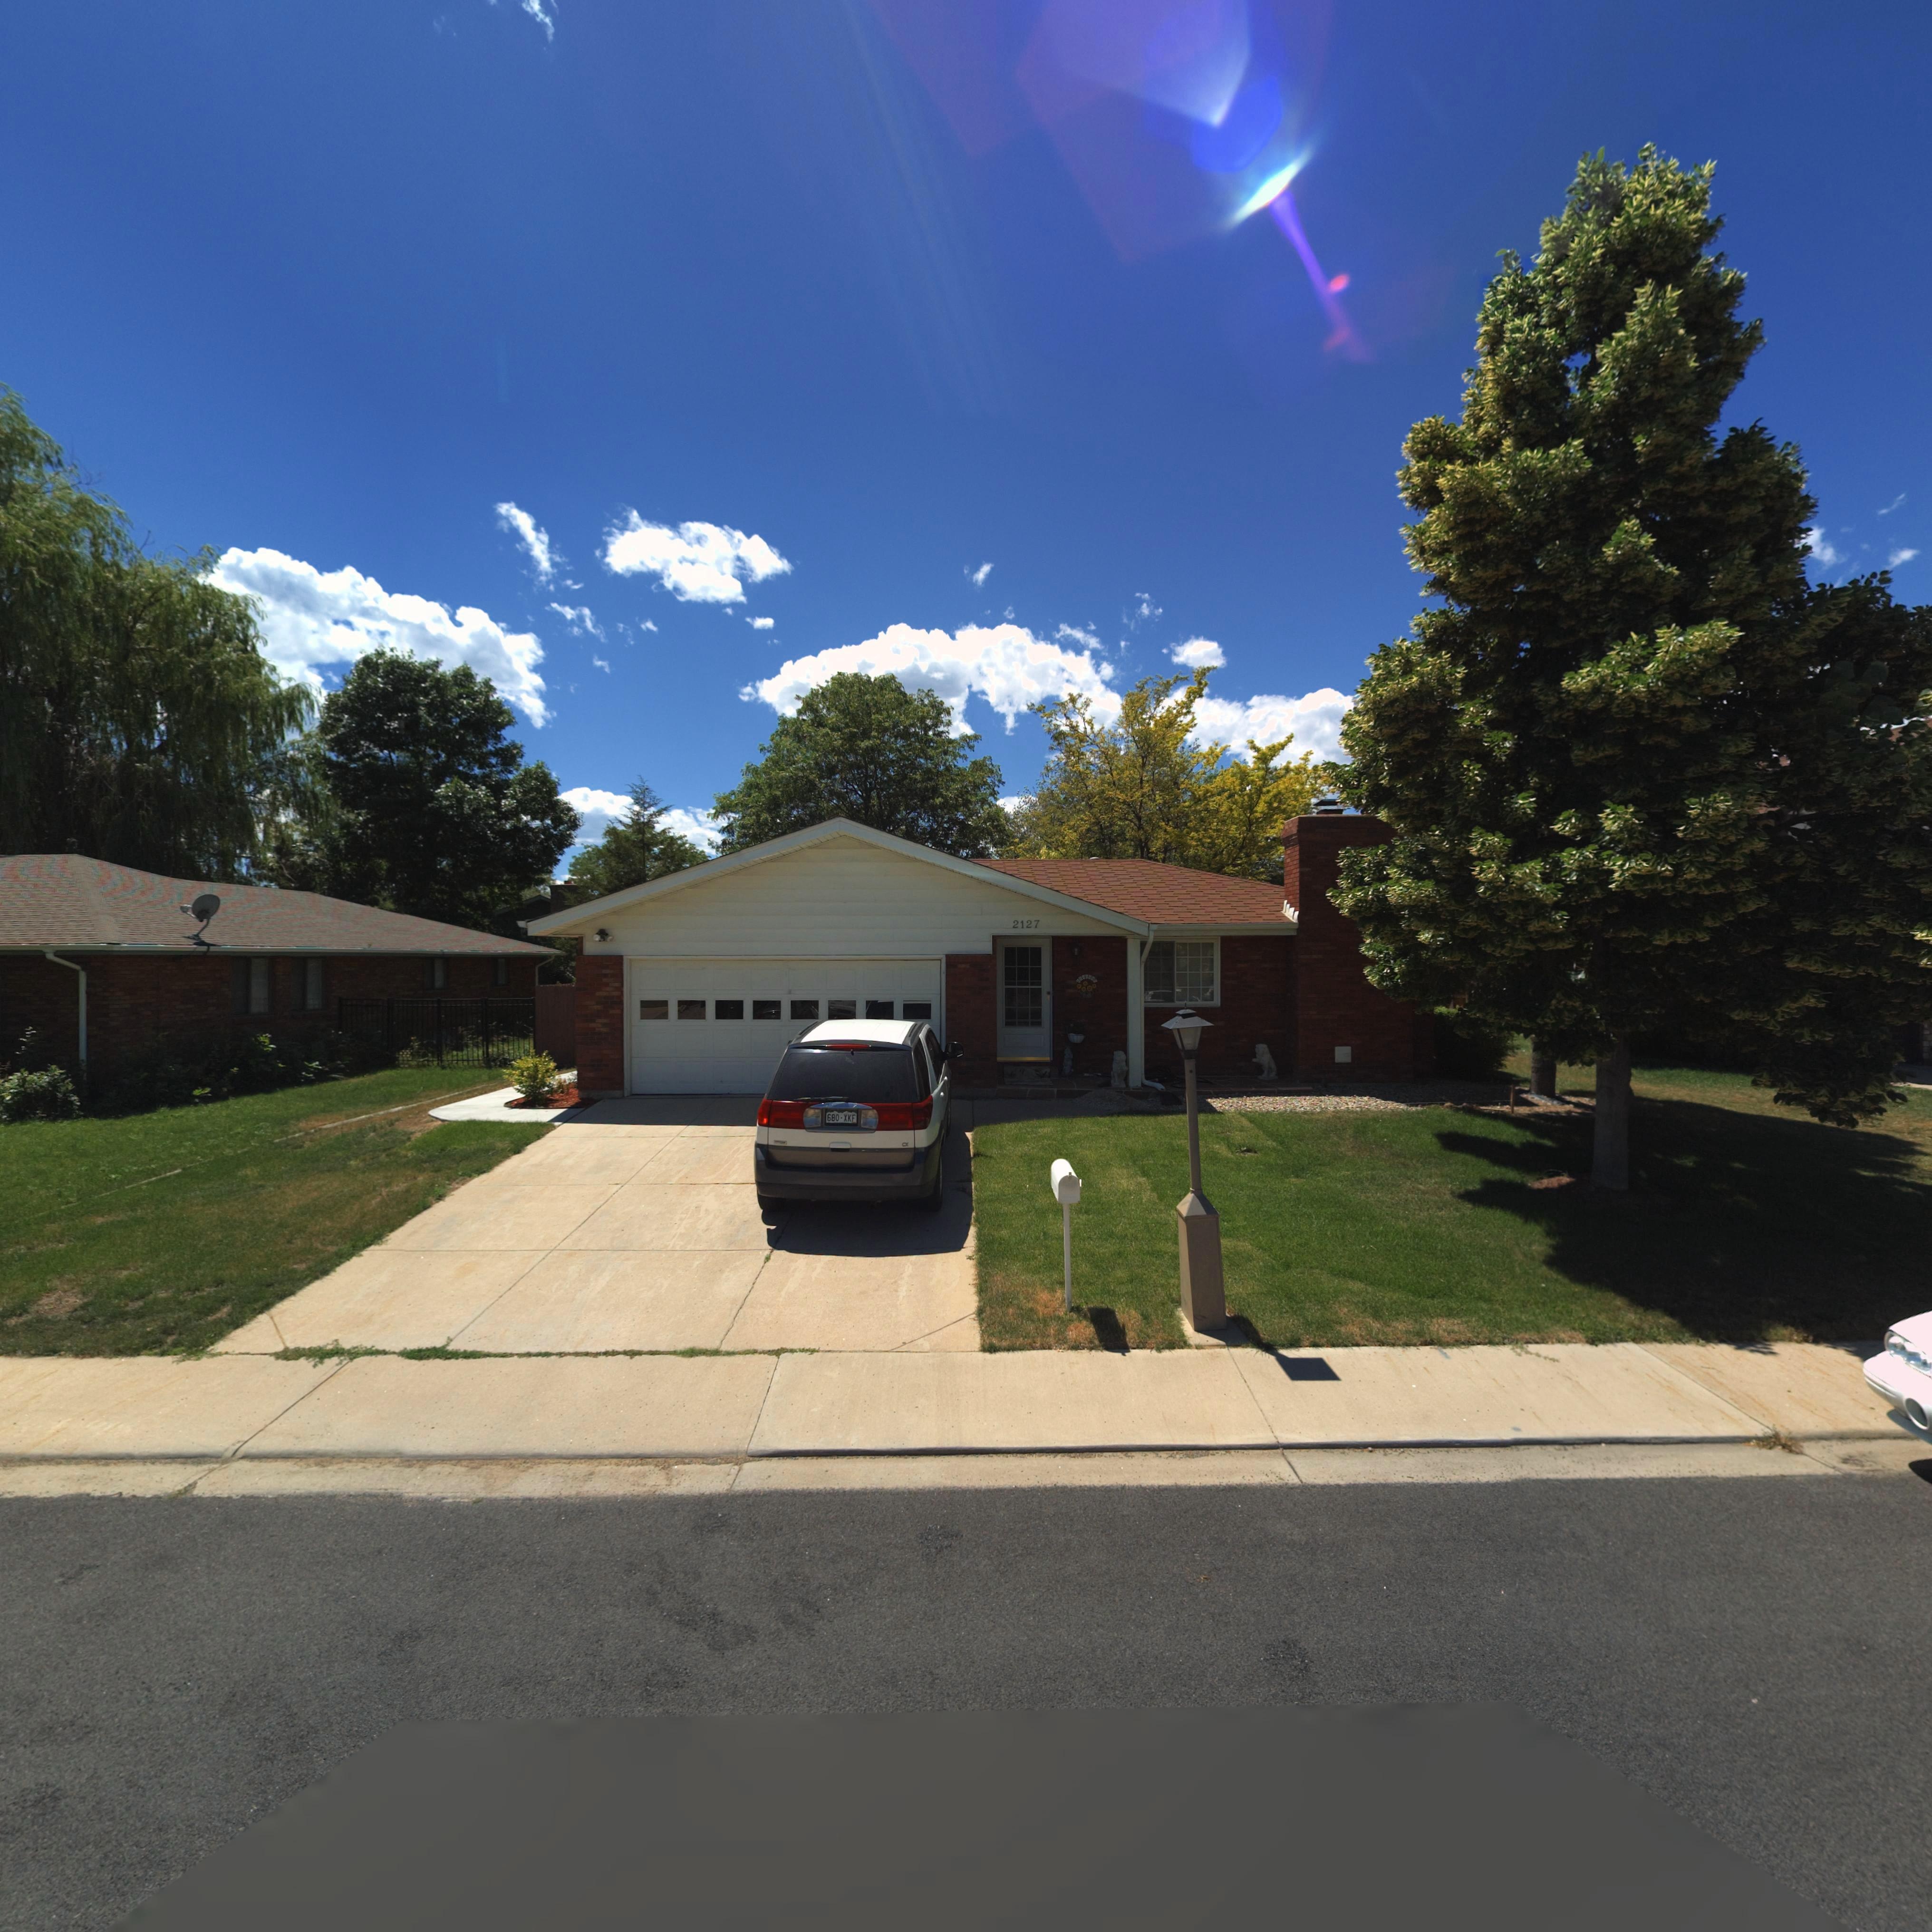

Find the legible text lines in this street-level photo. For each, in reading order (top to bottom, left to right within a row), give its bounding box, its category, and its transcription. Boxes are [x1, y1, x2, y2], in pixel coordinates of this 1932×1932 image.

[1012, 919, 1040, 928] StreetNumber: 2127